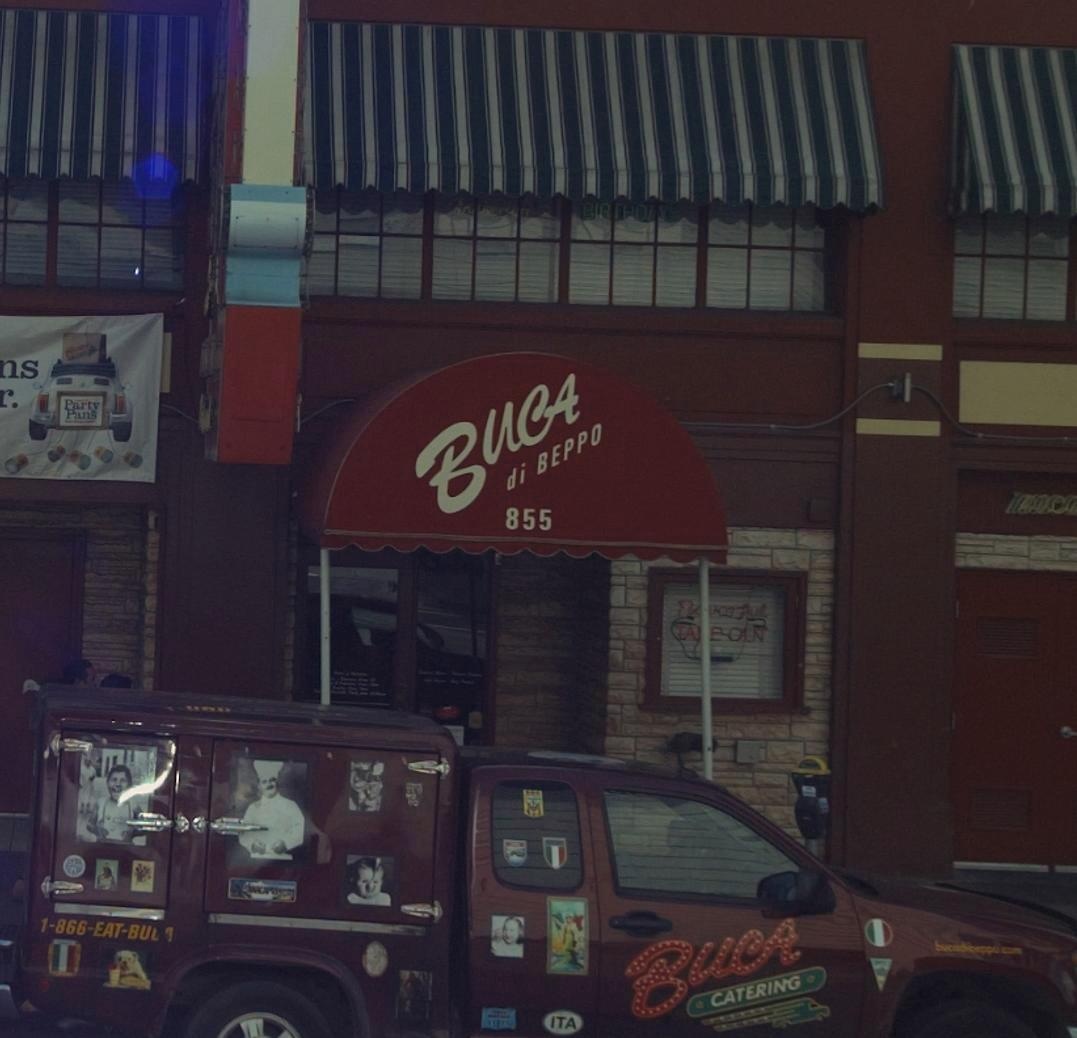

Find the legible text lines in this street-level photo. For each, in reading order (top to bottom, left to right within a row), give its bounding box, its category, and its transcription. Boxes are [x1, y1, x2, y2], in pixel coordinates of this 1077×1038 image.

[0, 356, 41, 383] None: ns
[0, 386, 20, 410] None: r.
[63, 406, 100, 424] None: Pans
[62, 395, 102, 415] None: Party
[406, 363, 588, 522] BusinessName: NUCA
[498, 415, 608, 501] BusinessName: di BEPPO
[502, 503, 557, 534] StreetNumber: 855
[670, 622, 769, 647] None: TA*E OUT
[35, 913, 164, 946] None: 1-866-EAT-BU
[933, 938, 1027, 959] None: bucad**eppo.com
[618, 908, 813, 1025] BusinessName: Buca
[707, 966, 806, 1014] BusinessName: CATERING
[548, 1012, 580, 1032] None: ITA